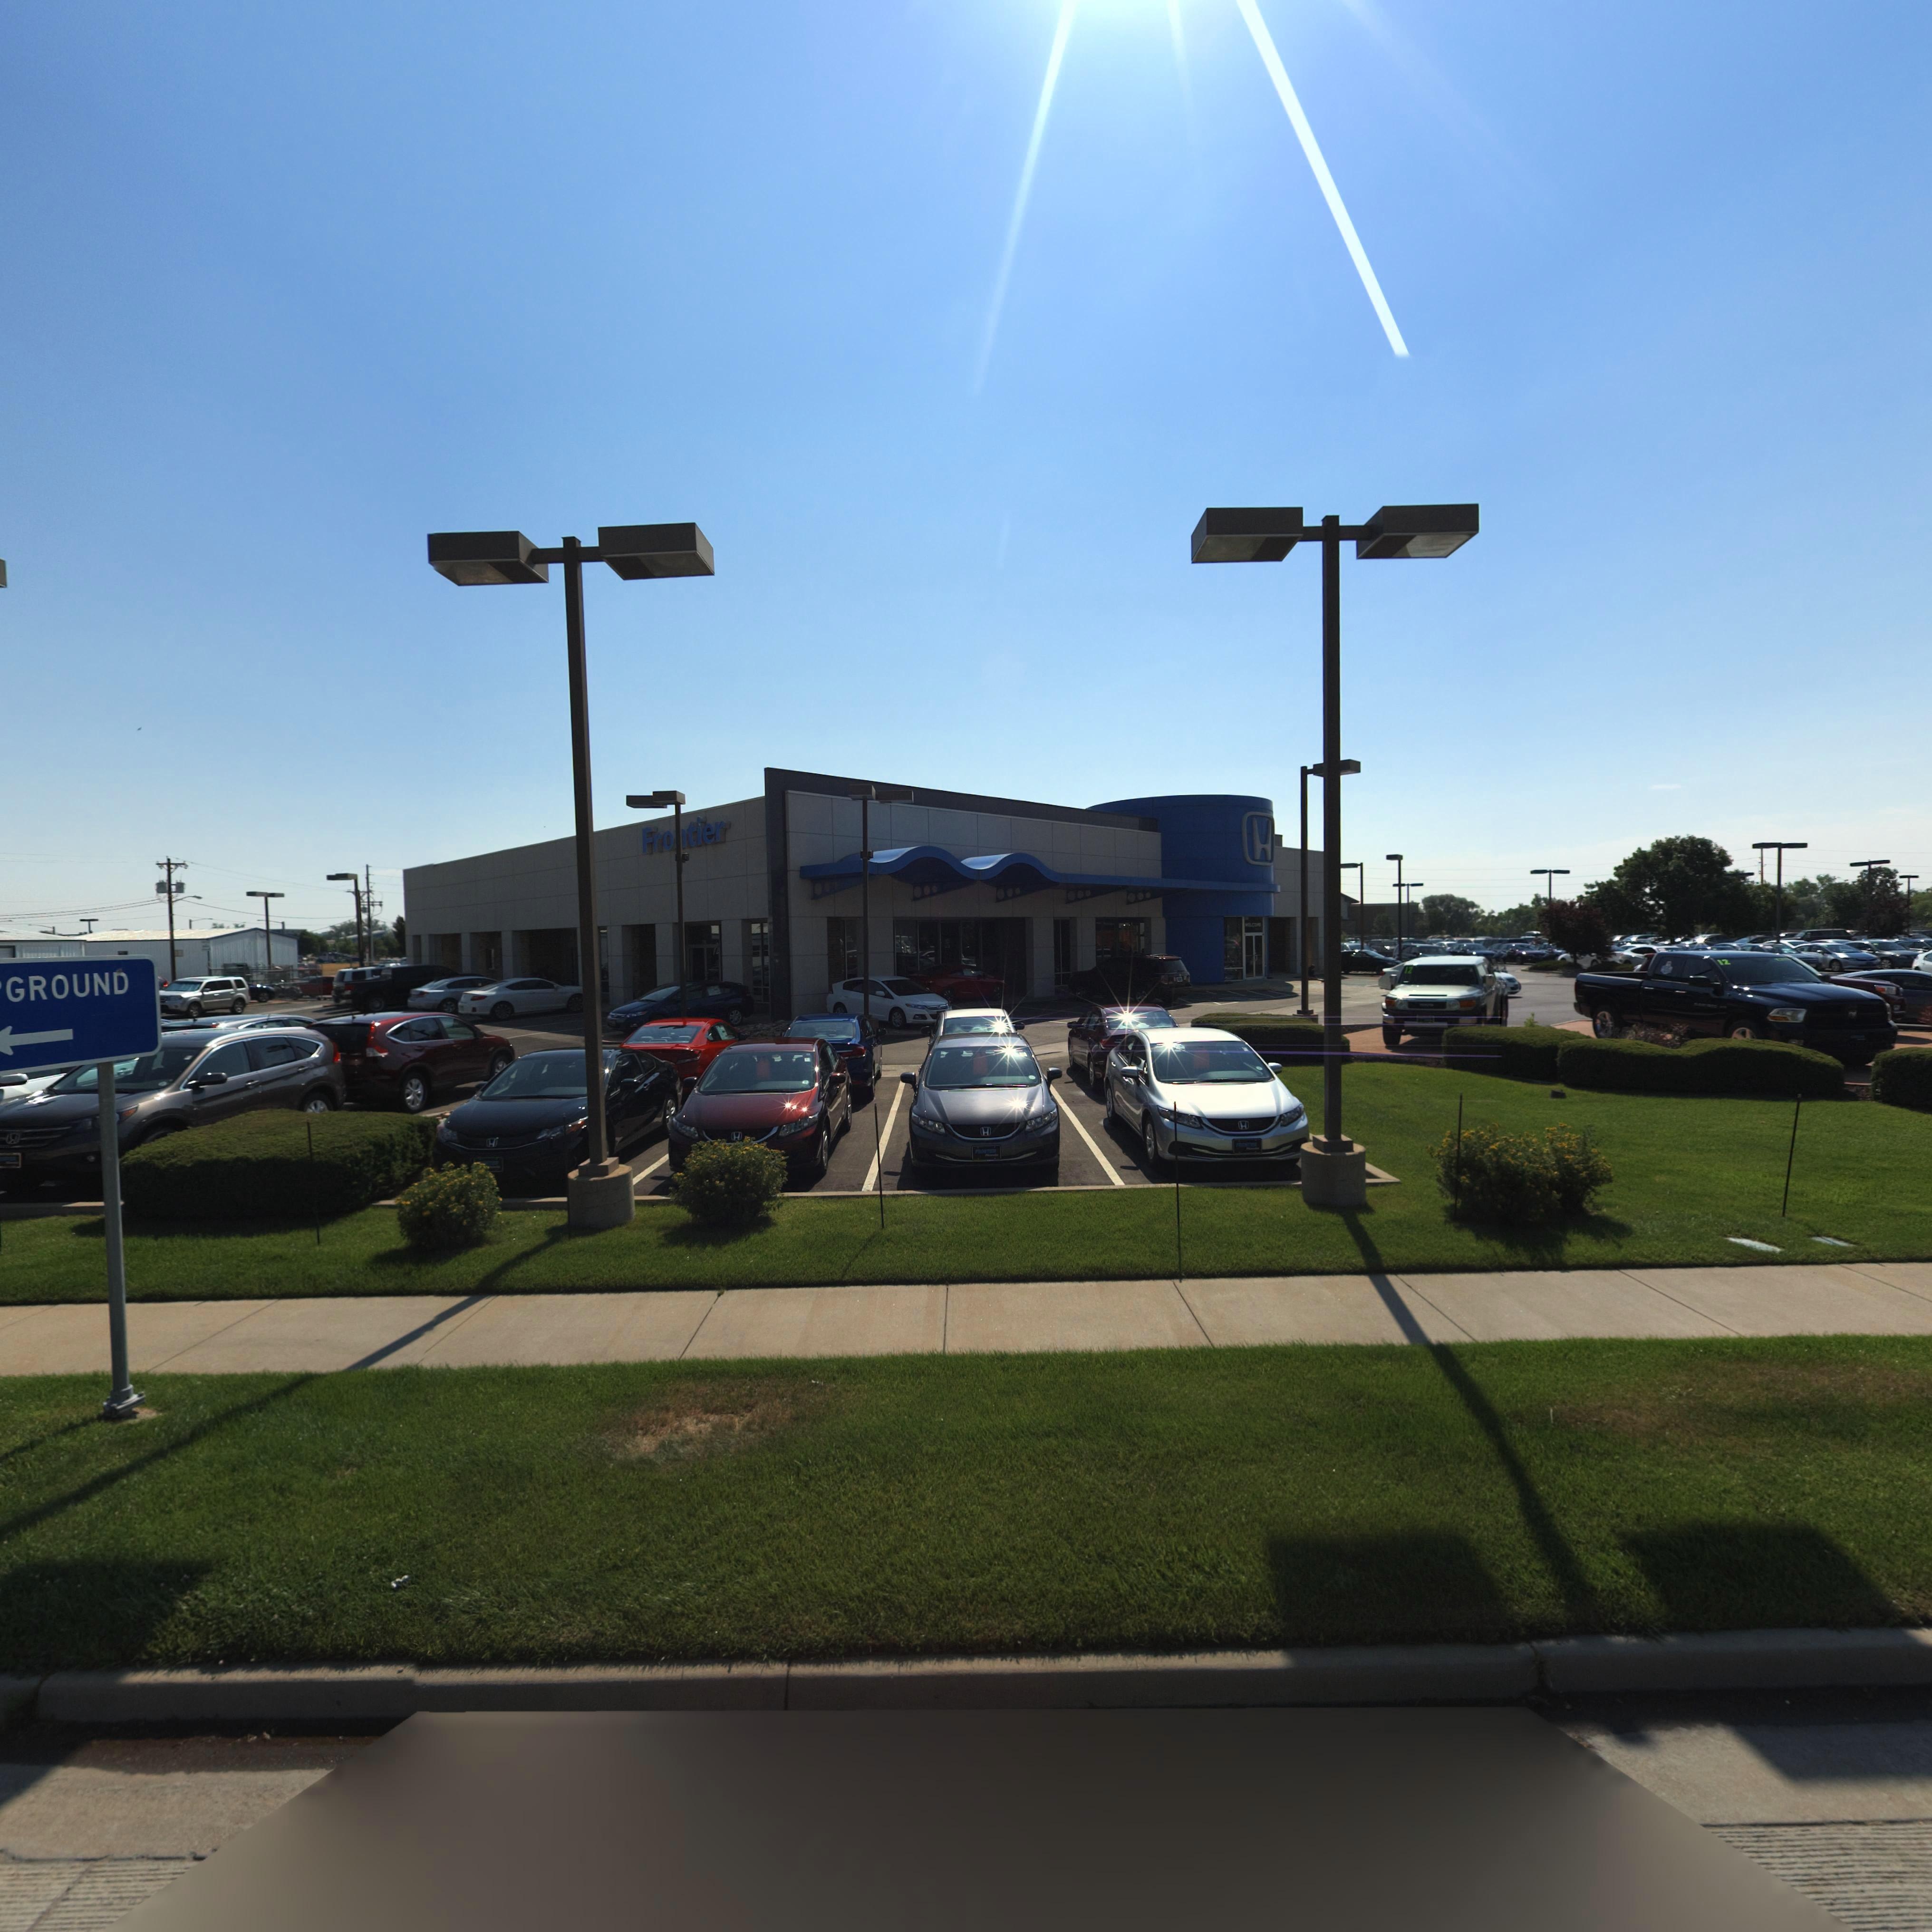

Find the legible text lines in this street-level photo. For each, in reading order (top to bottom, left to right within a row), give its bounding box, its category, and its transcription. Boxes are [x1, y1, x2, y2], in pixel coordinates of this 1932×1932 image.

[641, 816, 726, 855] BusinessName: Fro*tier